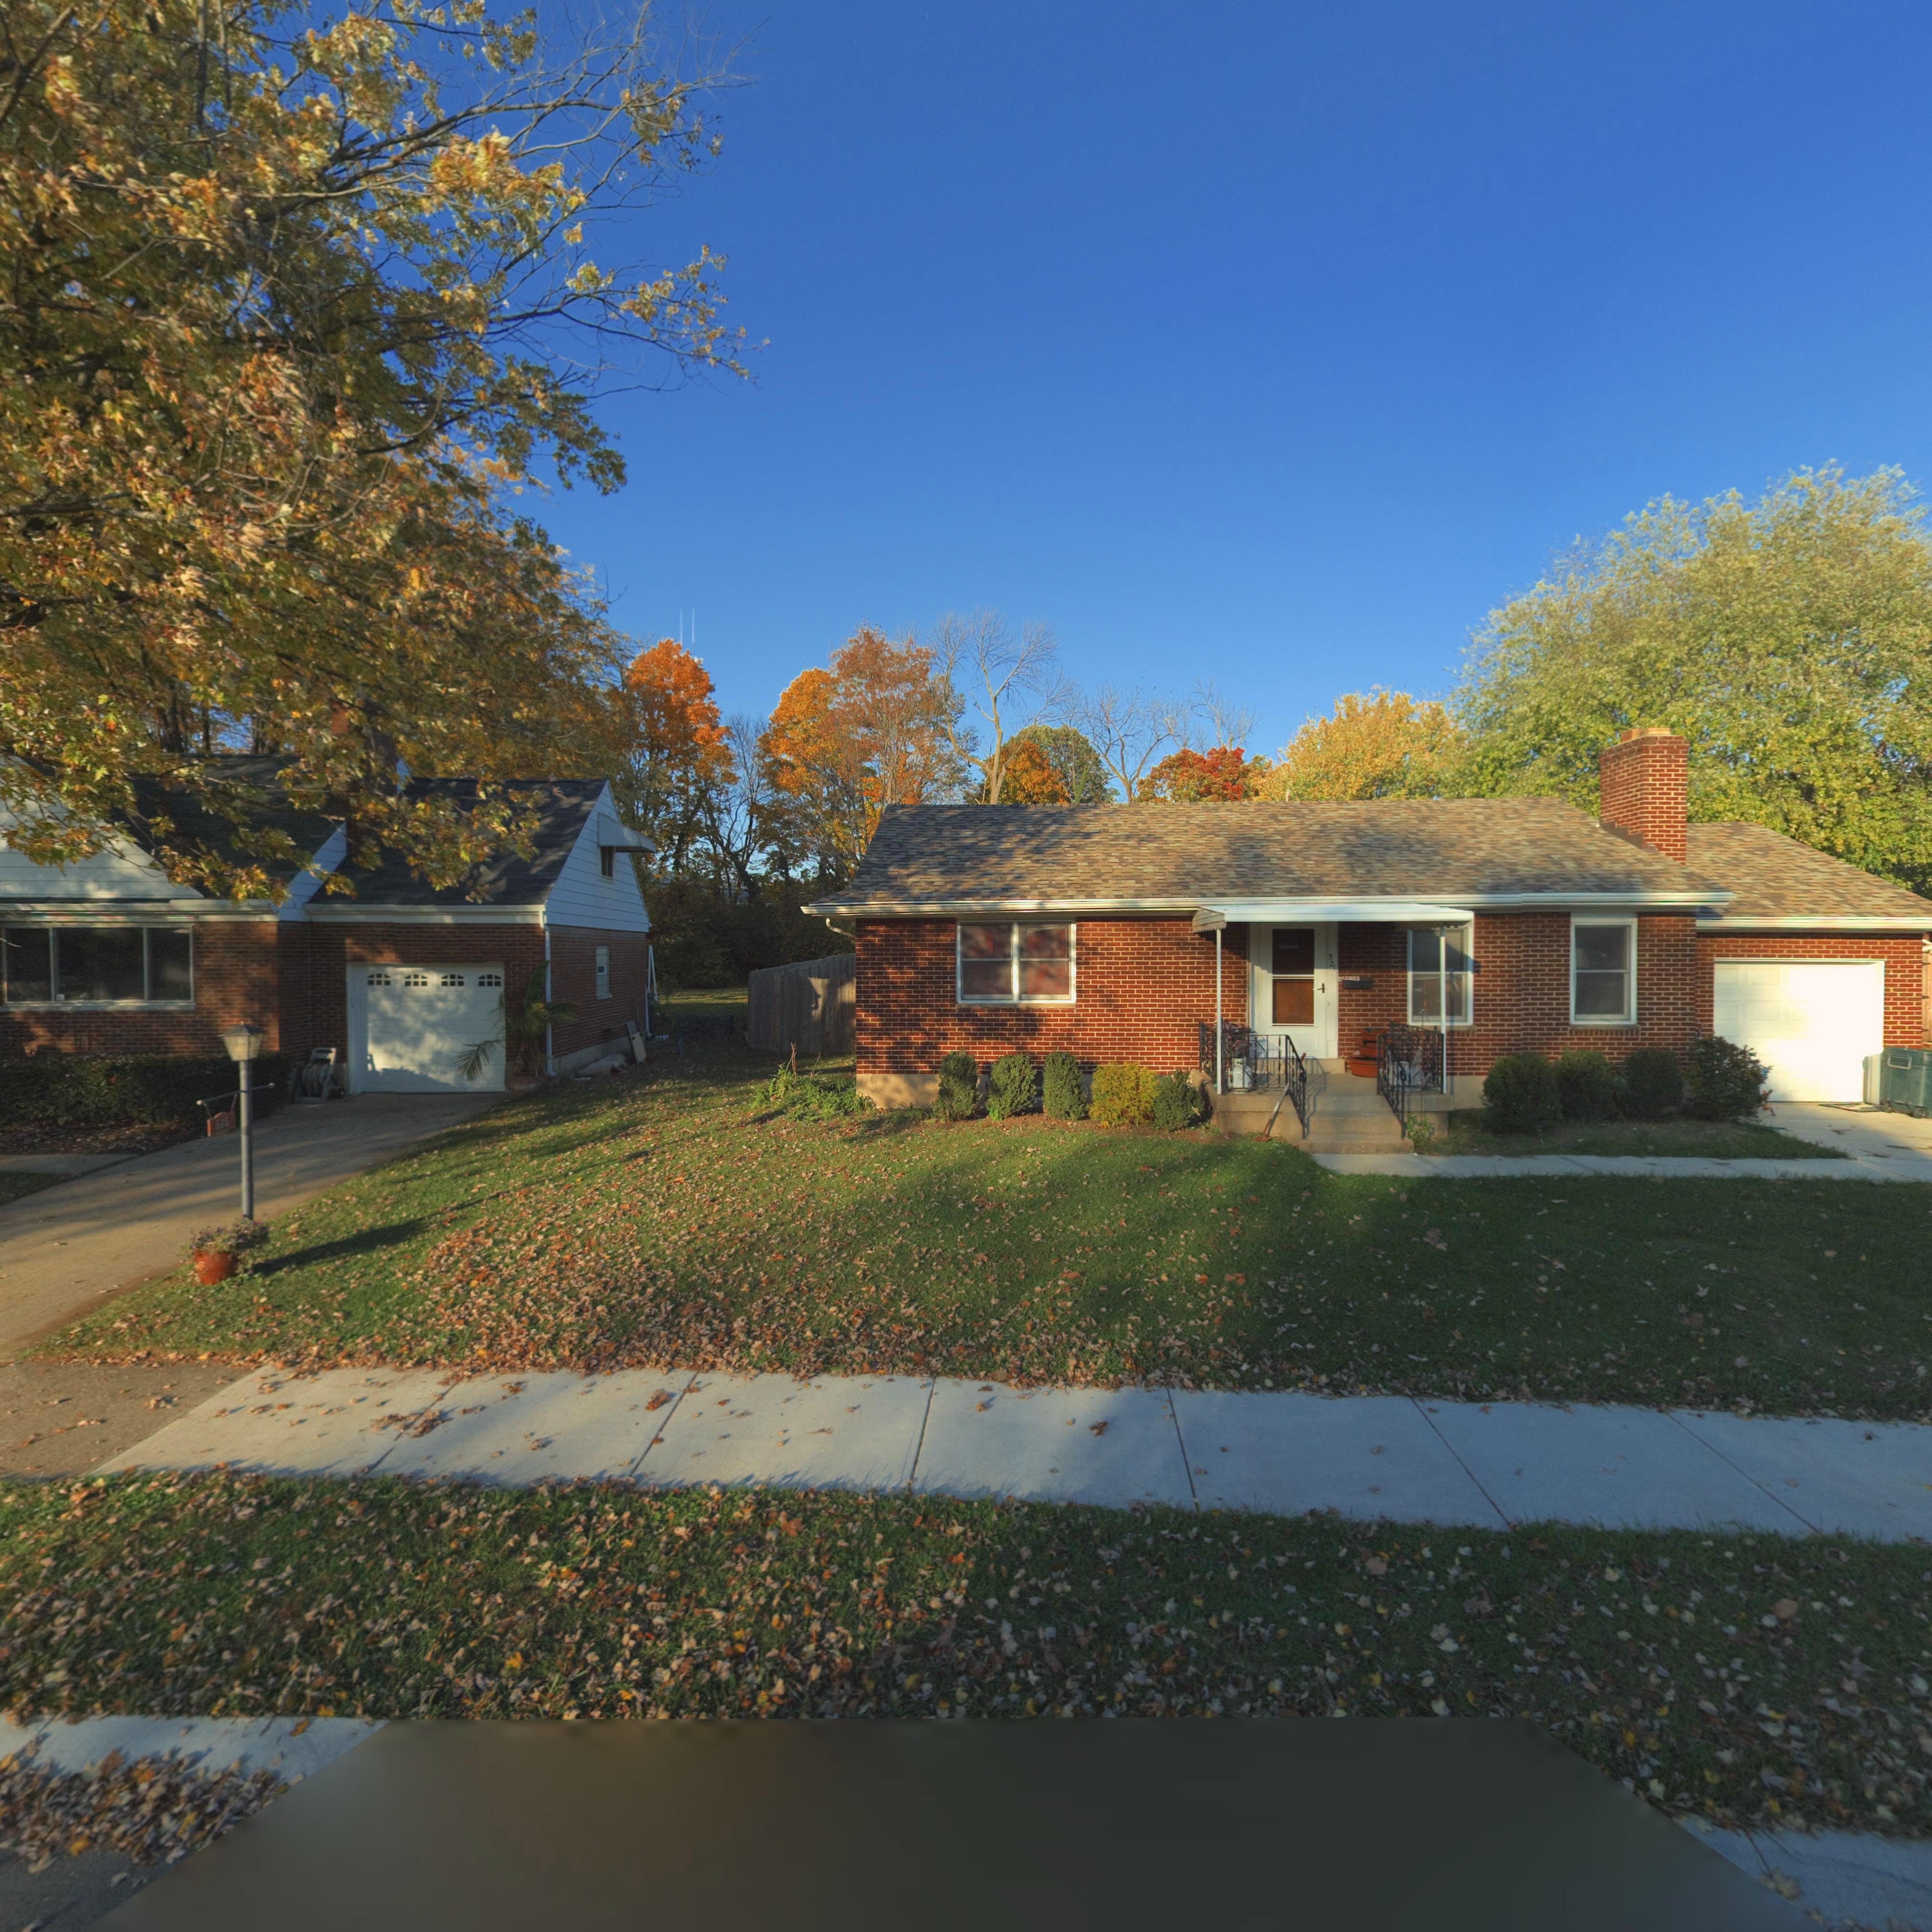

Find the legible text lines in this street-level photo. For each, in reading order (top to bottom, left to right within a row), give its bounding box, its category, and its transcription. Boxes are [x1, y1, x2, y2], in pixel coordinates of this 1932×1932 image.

[1327, 952, 1336, 973] StreetNumber: 521